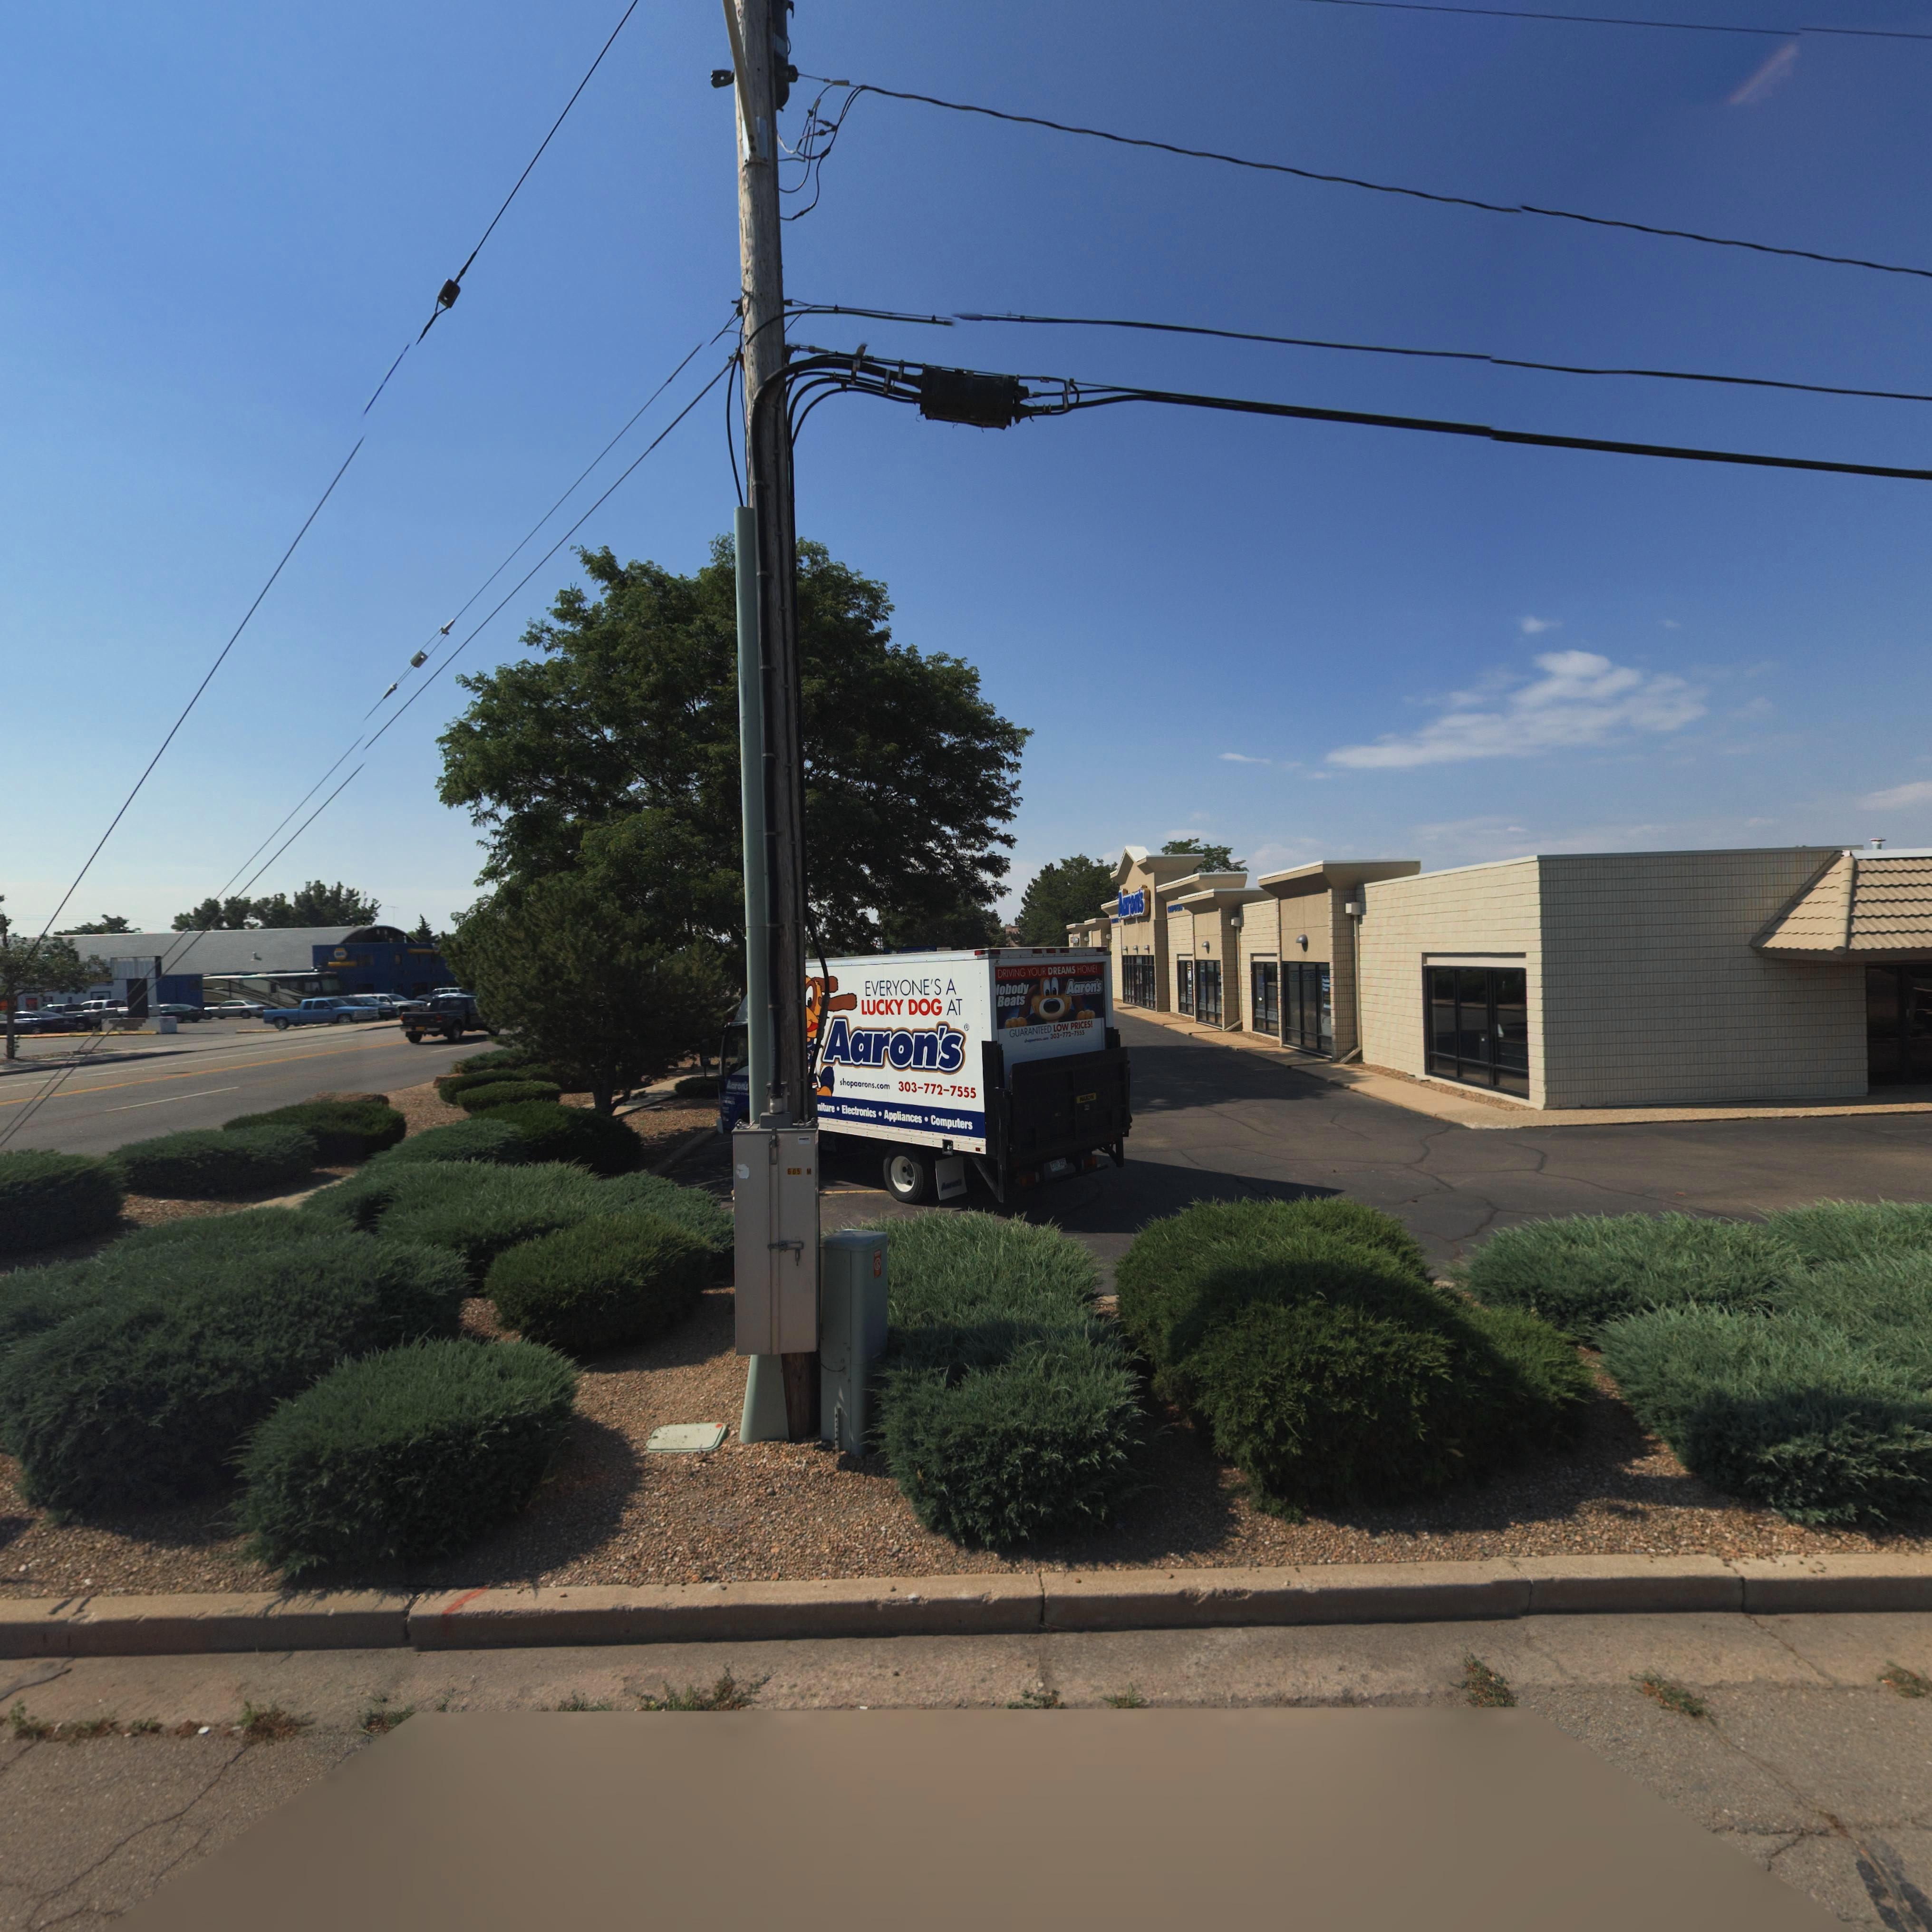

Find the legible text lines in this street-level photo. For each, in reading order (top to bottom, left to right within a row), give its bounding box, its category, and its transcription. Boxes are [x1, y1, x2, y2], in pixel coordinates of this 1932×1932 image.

[1118, 887, 1144, 918] BusinessName: Aaron's
[997, 964, 1097, 978] BusinessName: Aarons